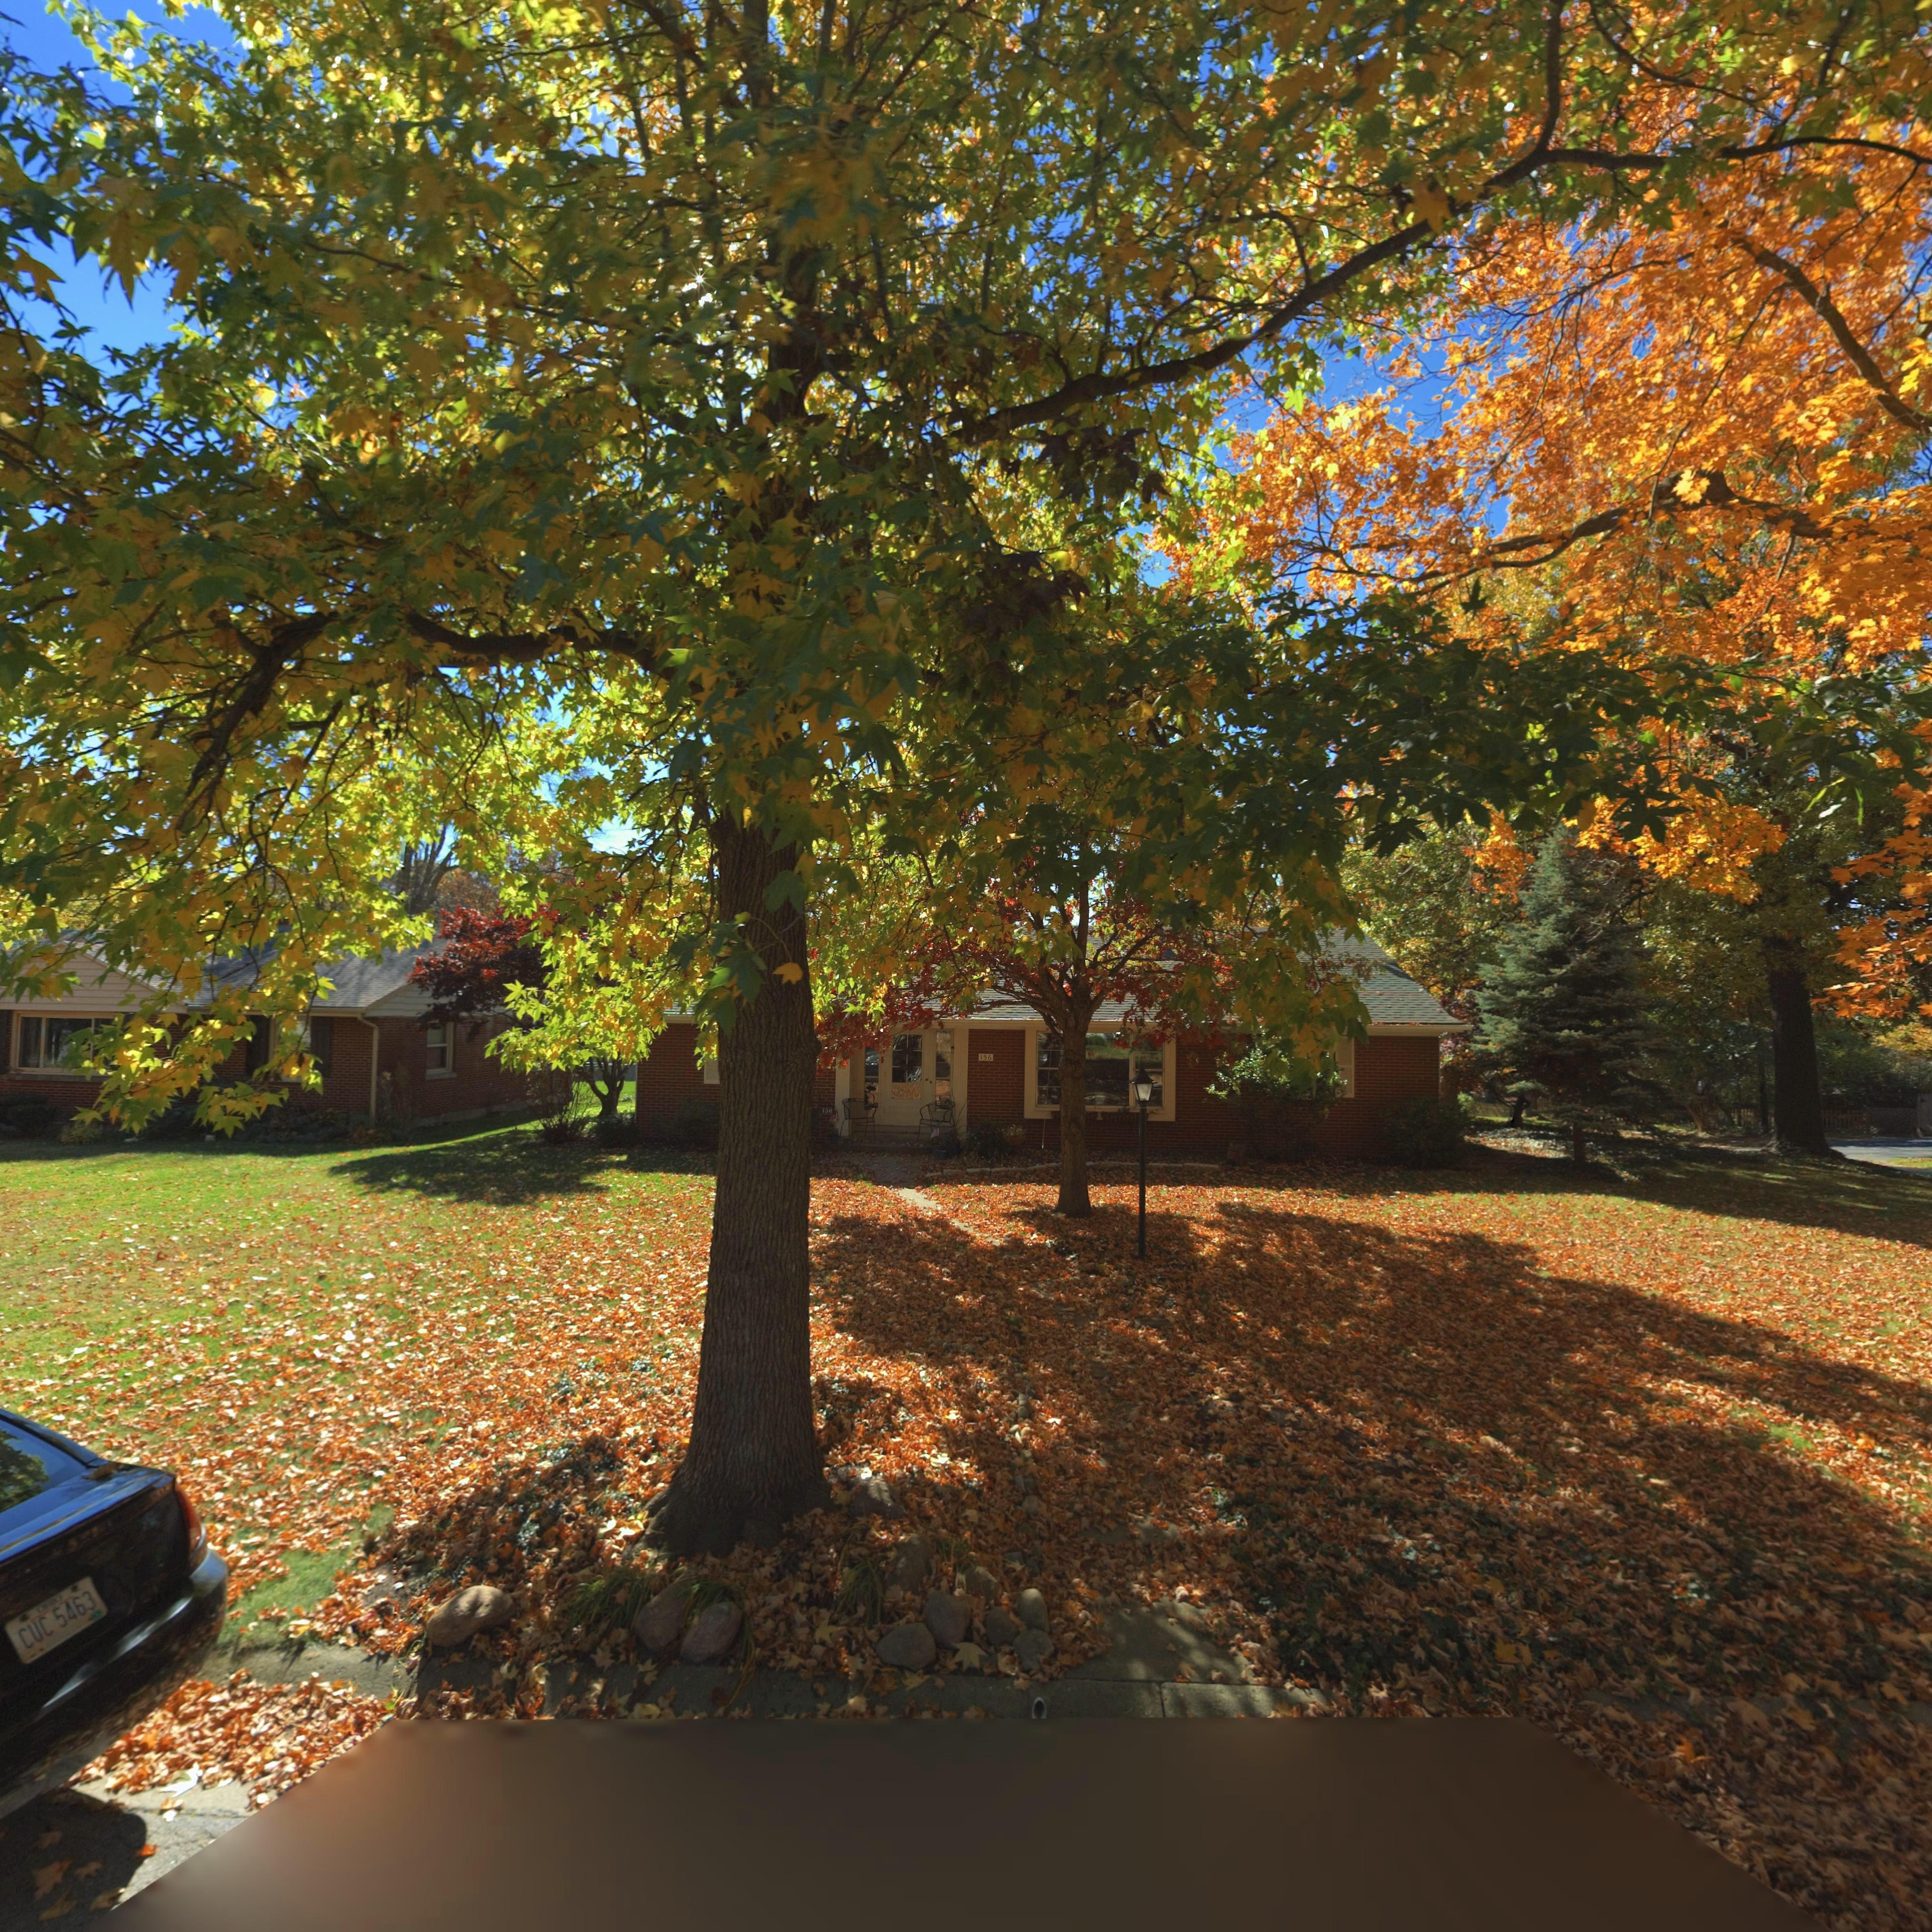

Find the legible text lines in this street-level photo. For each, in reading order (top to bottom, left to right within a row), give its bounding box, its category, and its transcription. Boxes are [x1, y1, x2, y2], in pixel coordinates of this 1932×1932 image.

[980, 1053, 992, 1061] StreetNumber: 156